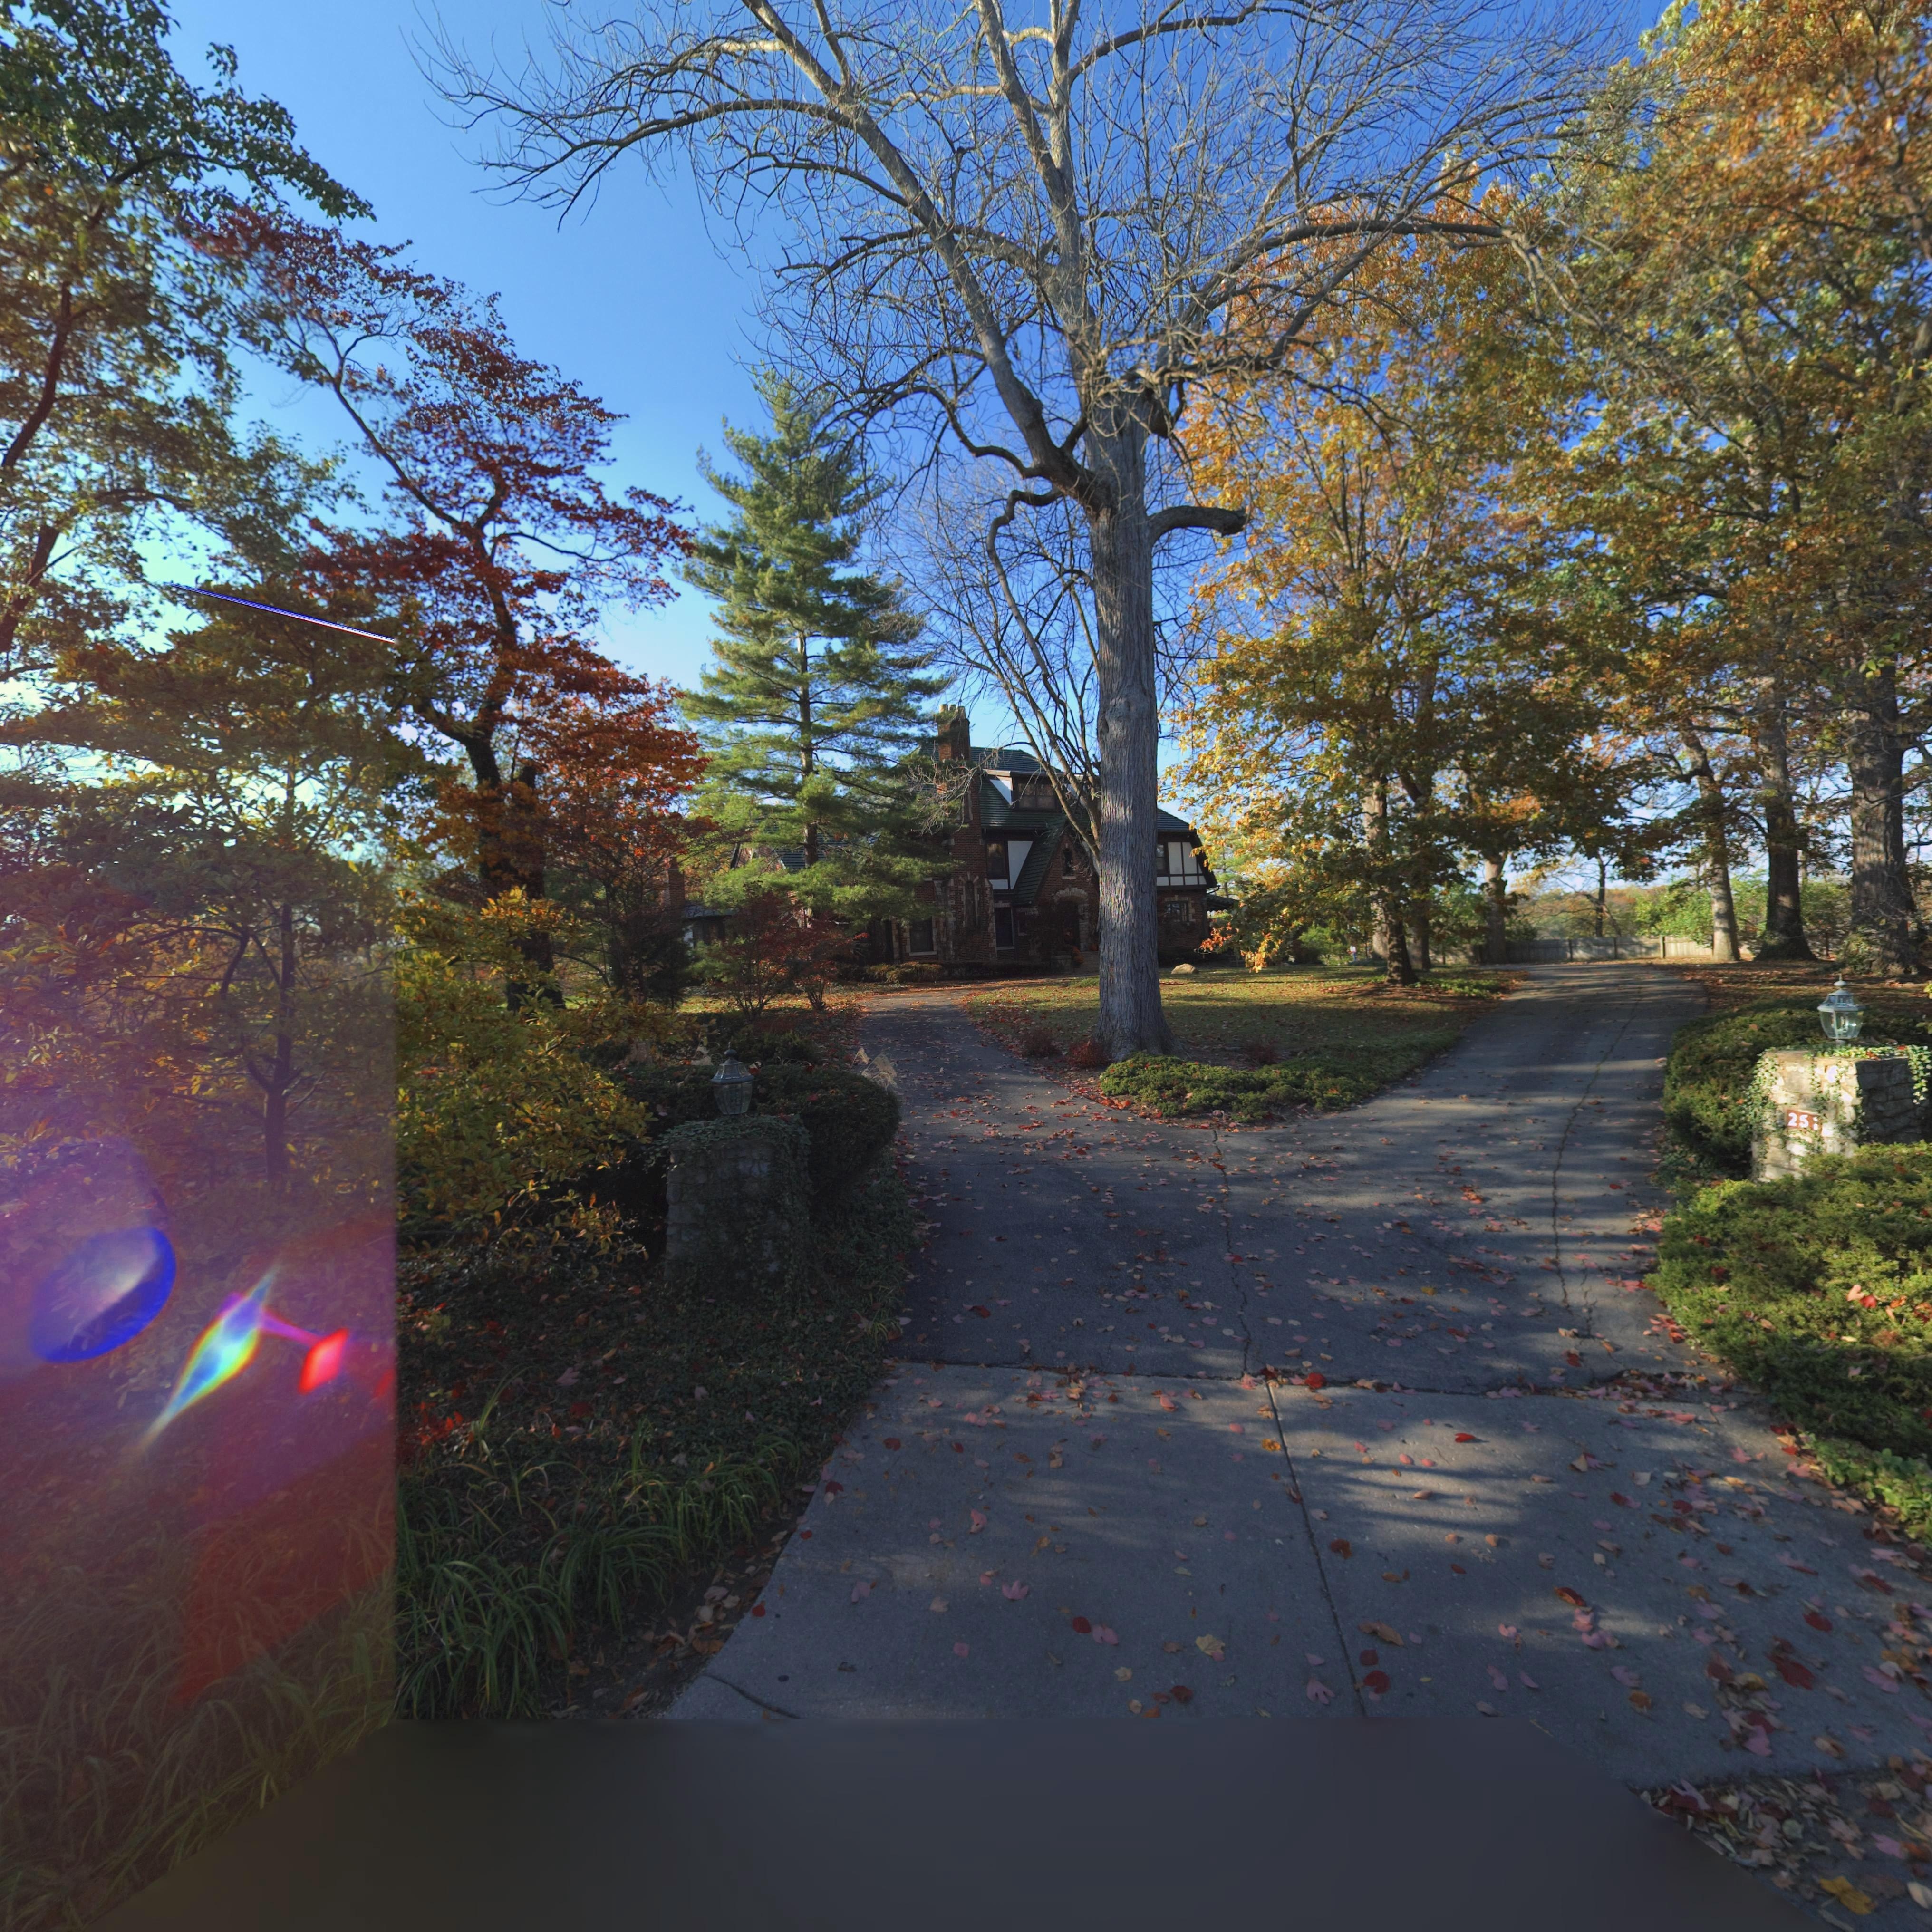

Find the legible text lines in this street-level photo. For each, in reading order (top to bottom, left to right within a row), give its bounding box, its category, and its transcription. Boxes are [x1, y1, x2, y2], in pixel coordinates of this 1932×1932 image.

[1786, 1110, 1821, 1133] StreetNumber: 251